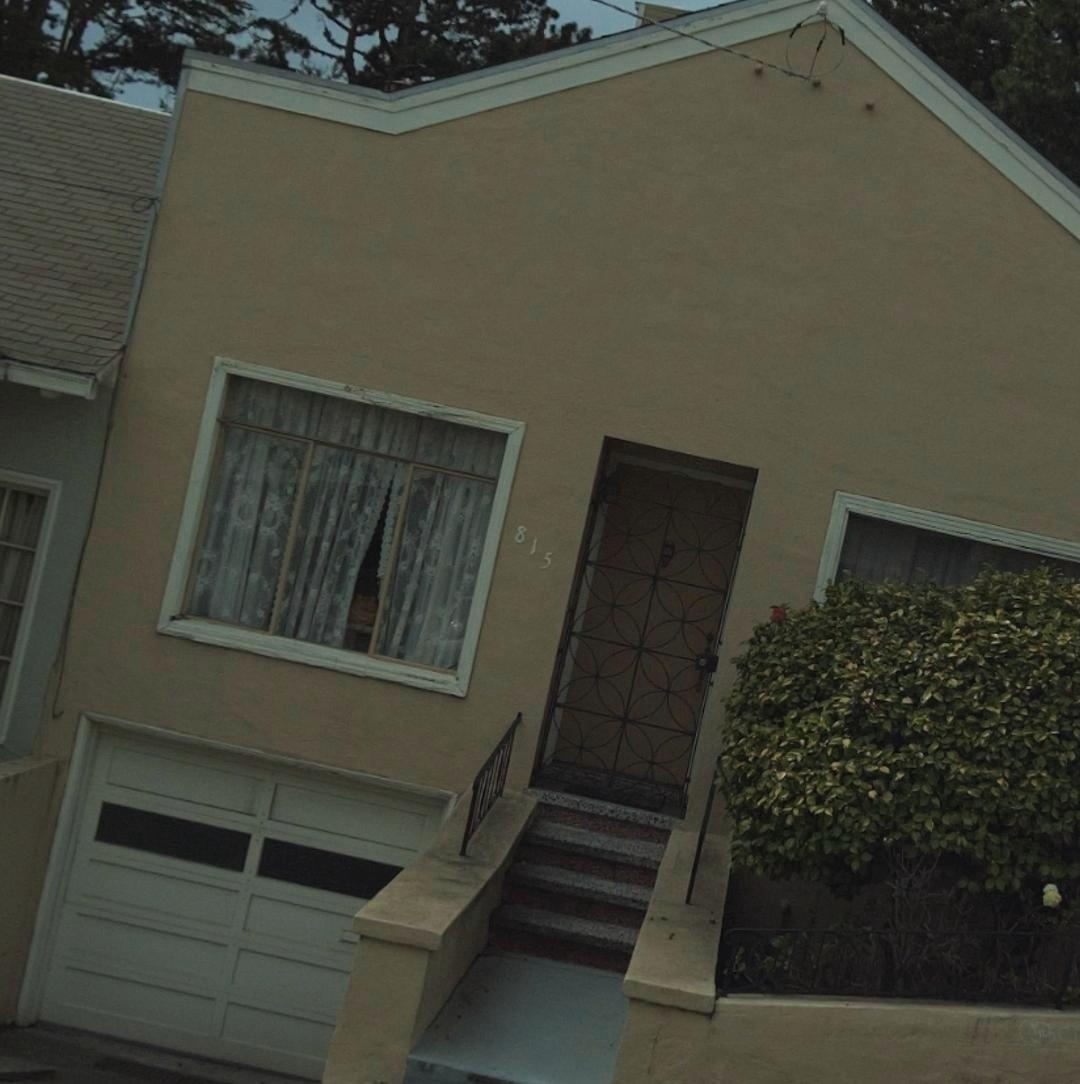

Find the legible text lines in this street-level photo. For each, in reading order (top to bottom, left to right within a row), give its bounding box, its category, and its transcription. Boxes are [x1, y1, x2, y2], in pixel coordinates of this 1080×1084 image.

[512, 520, 555, 578] StreetNumber: 815